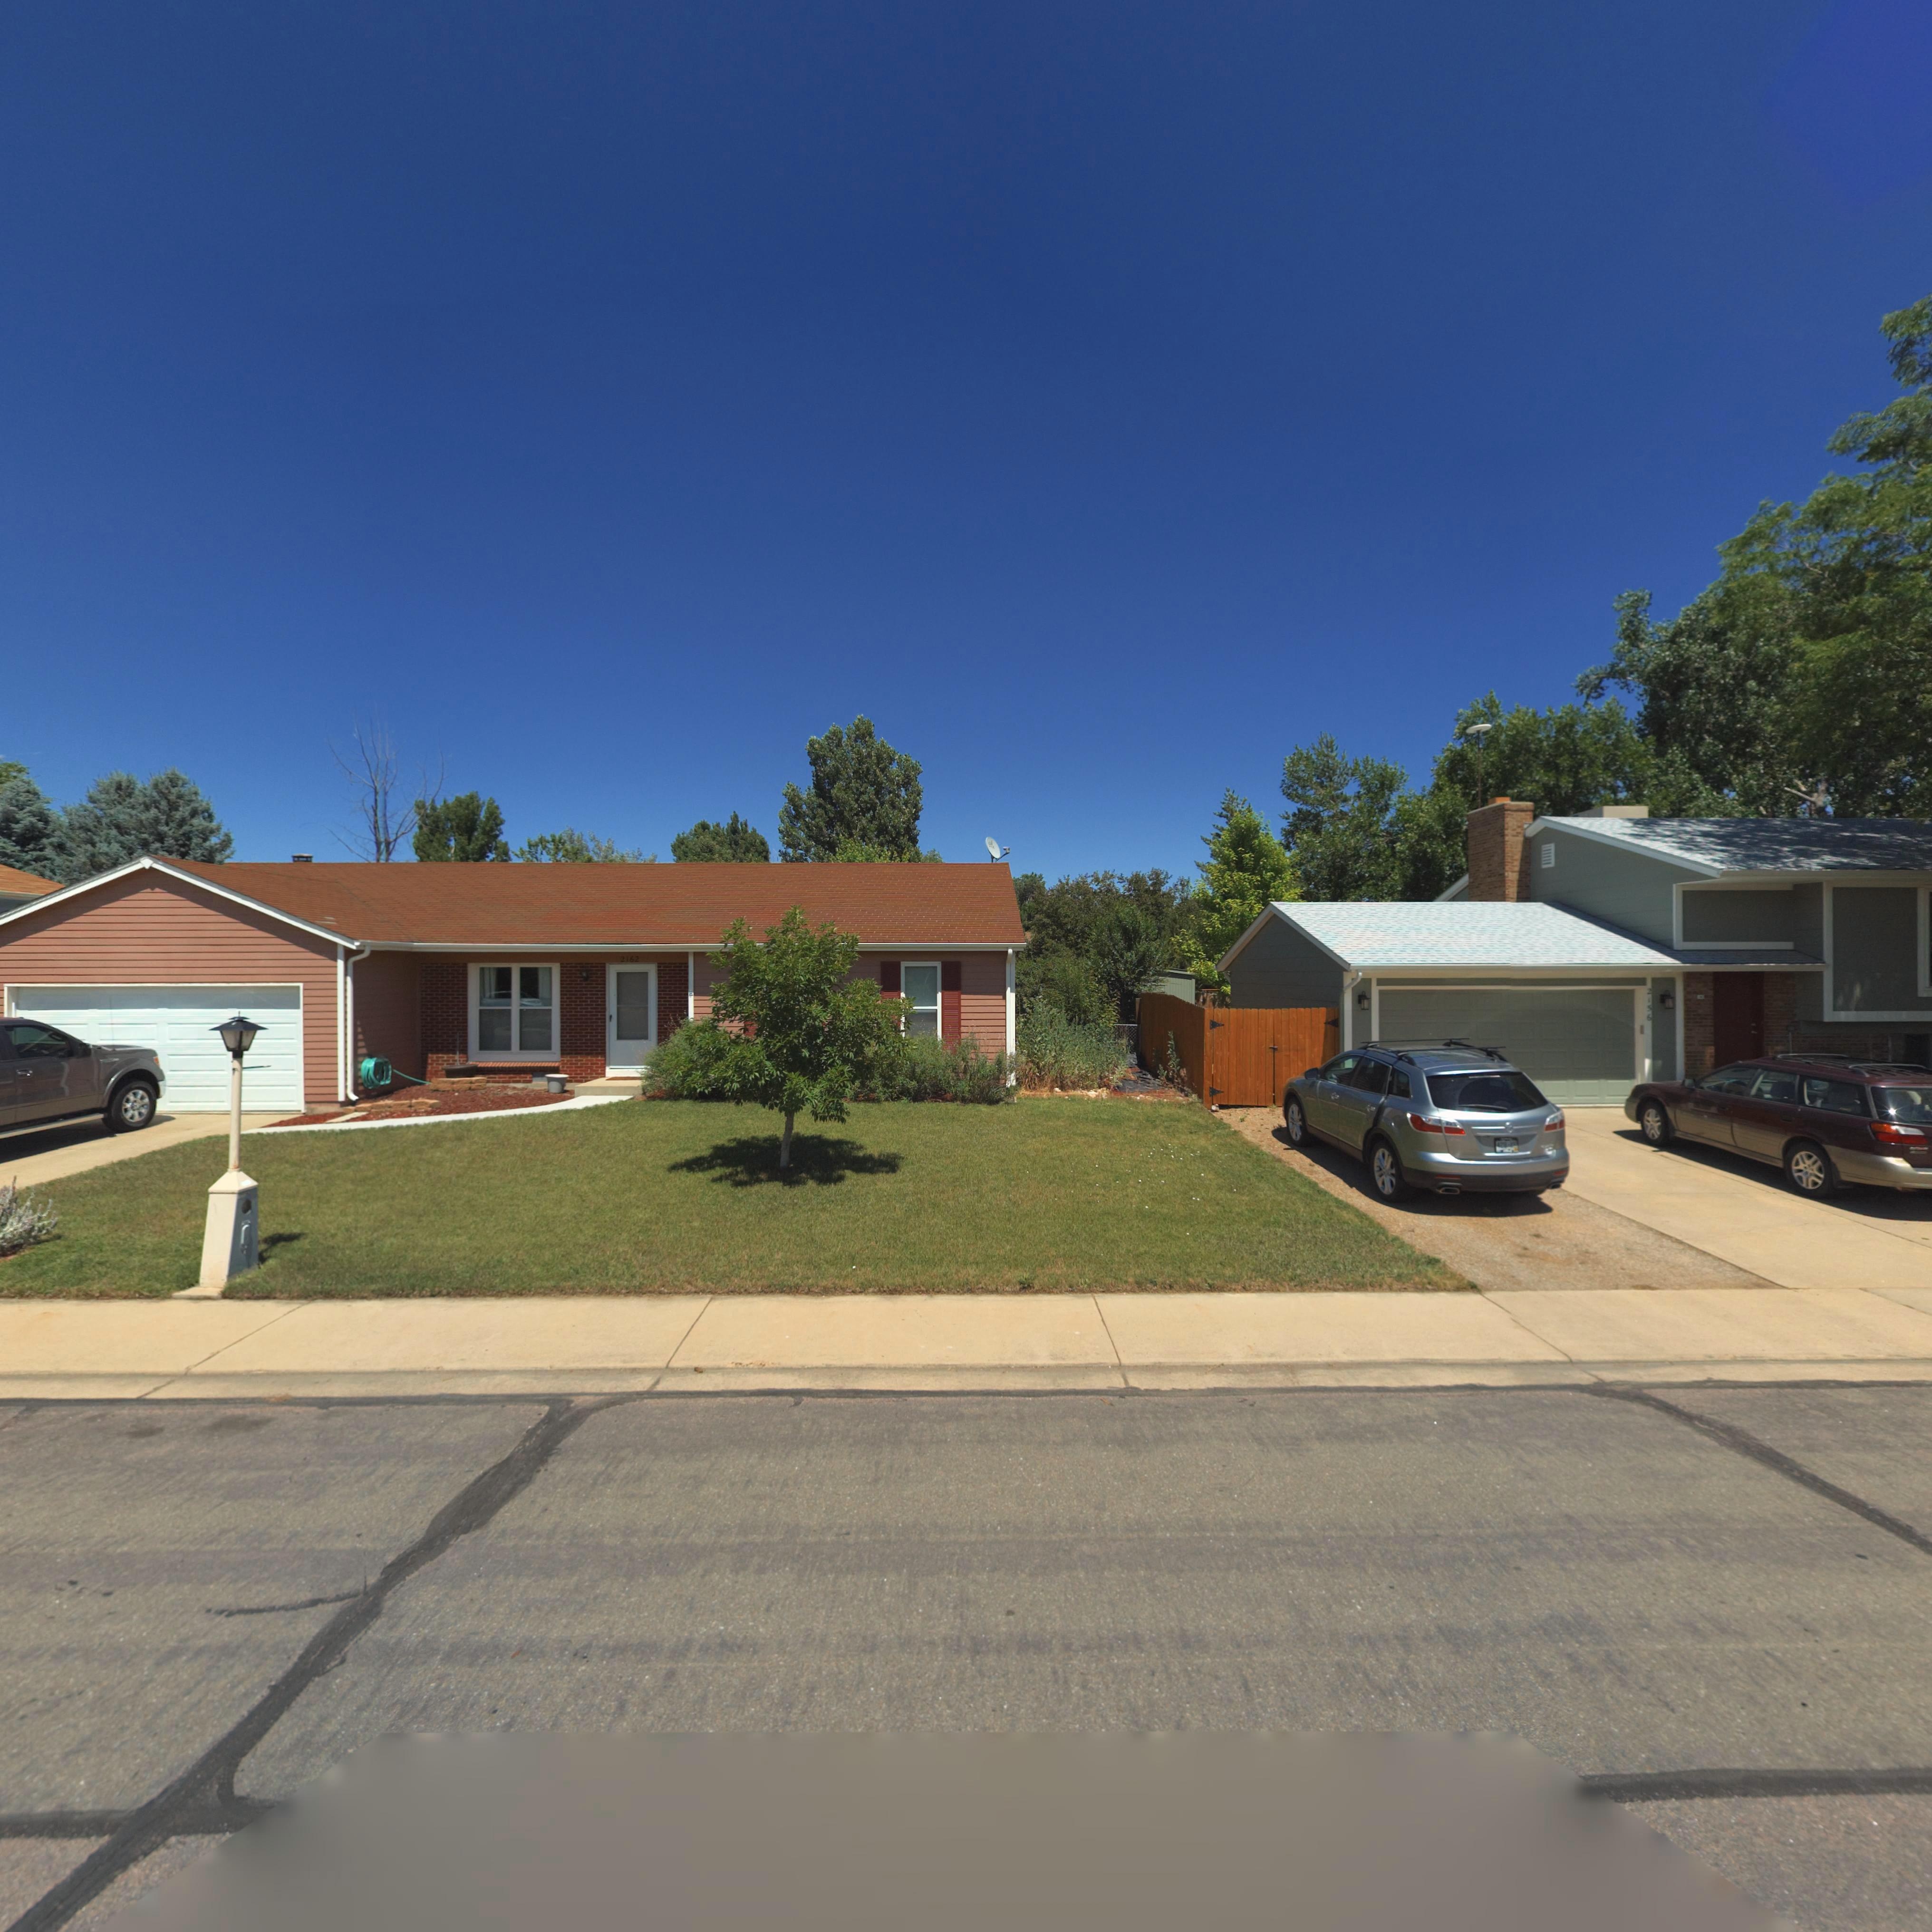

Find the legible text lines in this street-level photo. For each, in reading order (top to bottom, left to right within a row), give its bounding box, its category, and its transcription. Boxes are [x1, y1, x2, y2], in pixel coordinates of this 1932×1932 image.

[620, 956, 639, 962] StreetNumber: 2162
[1646, 987, 1652, 1021] StreetNumber: 2156